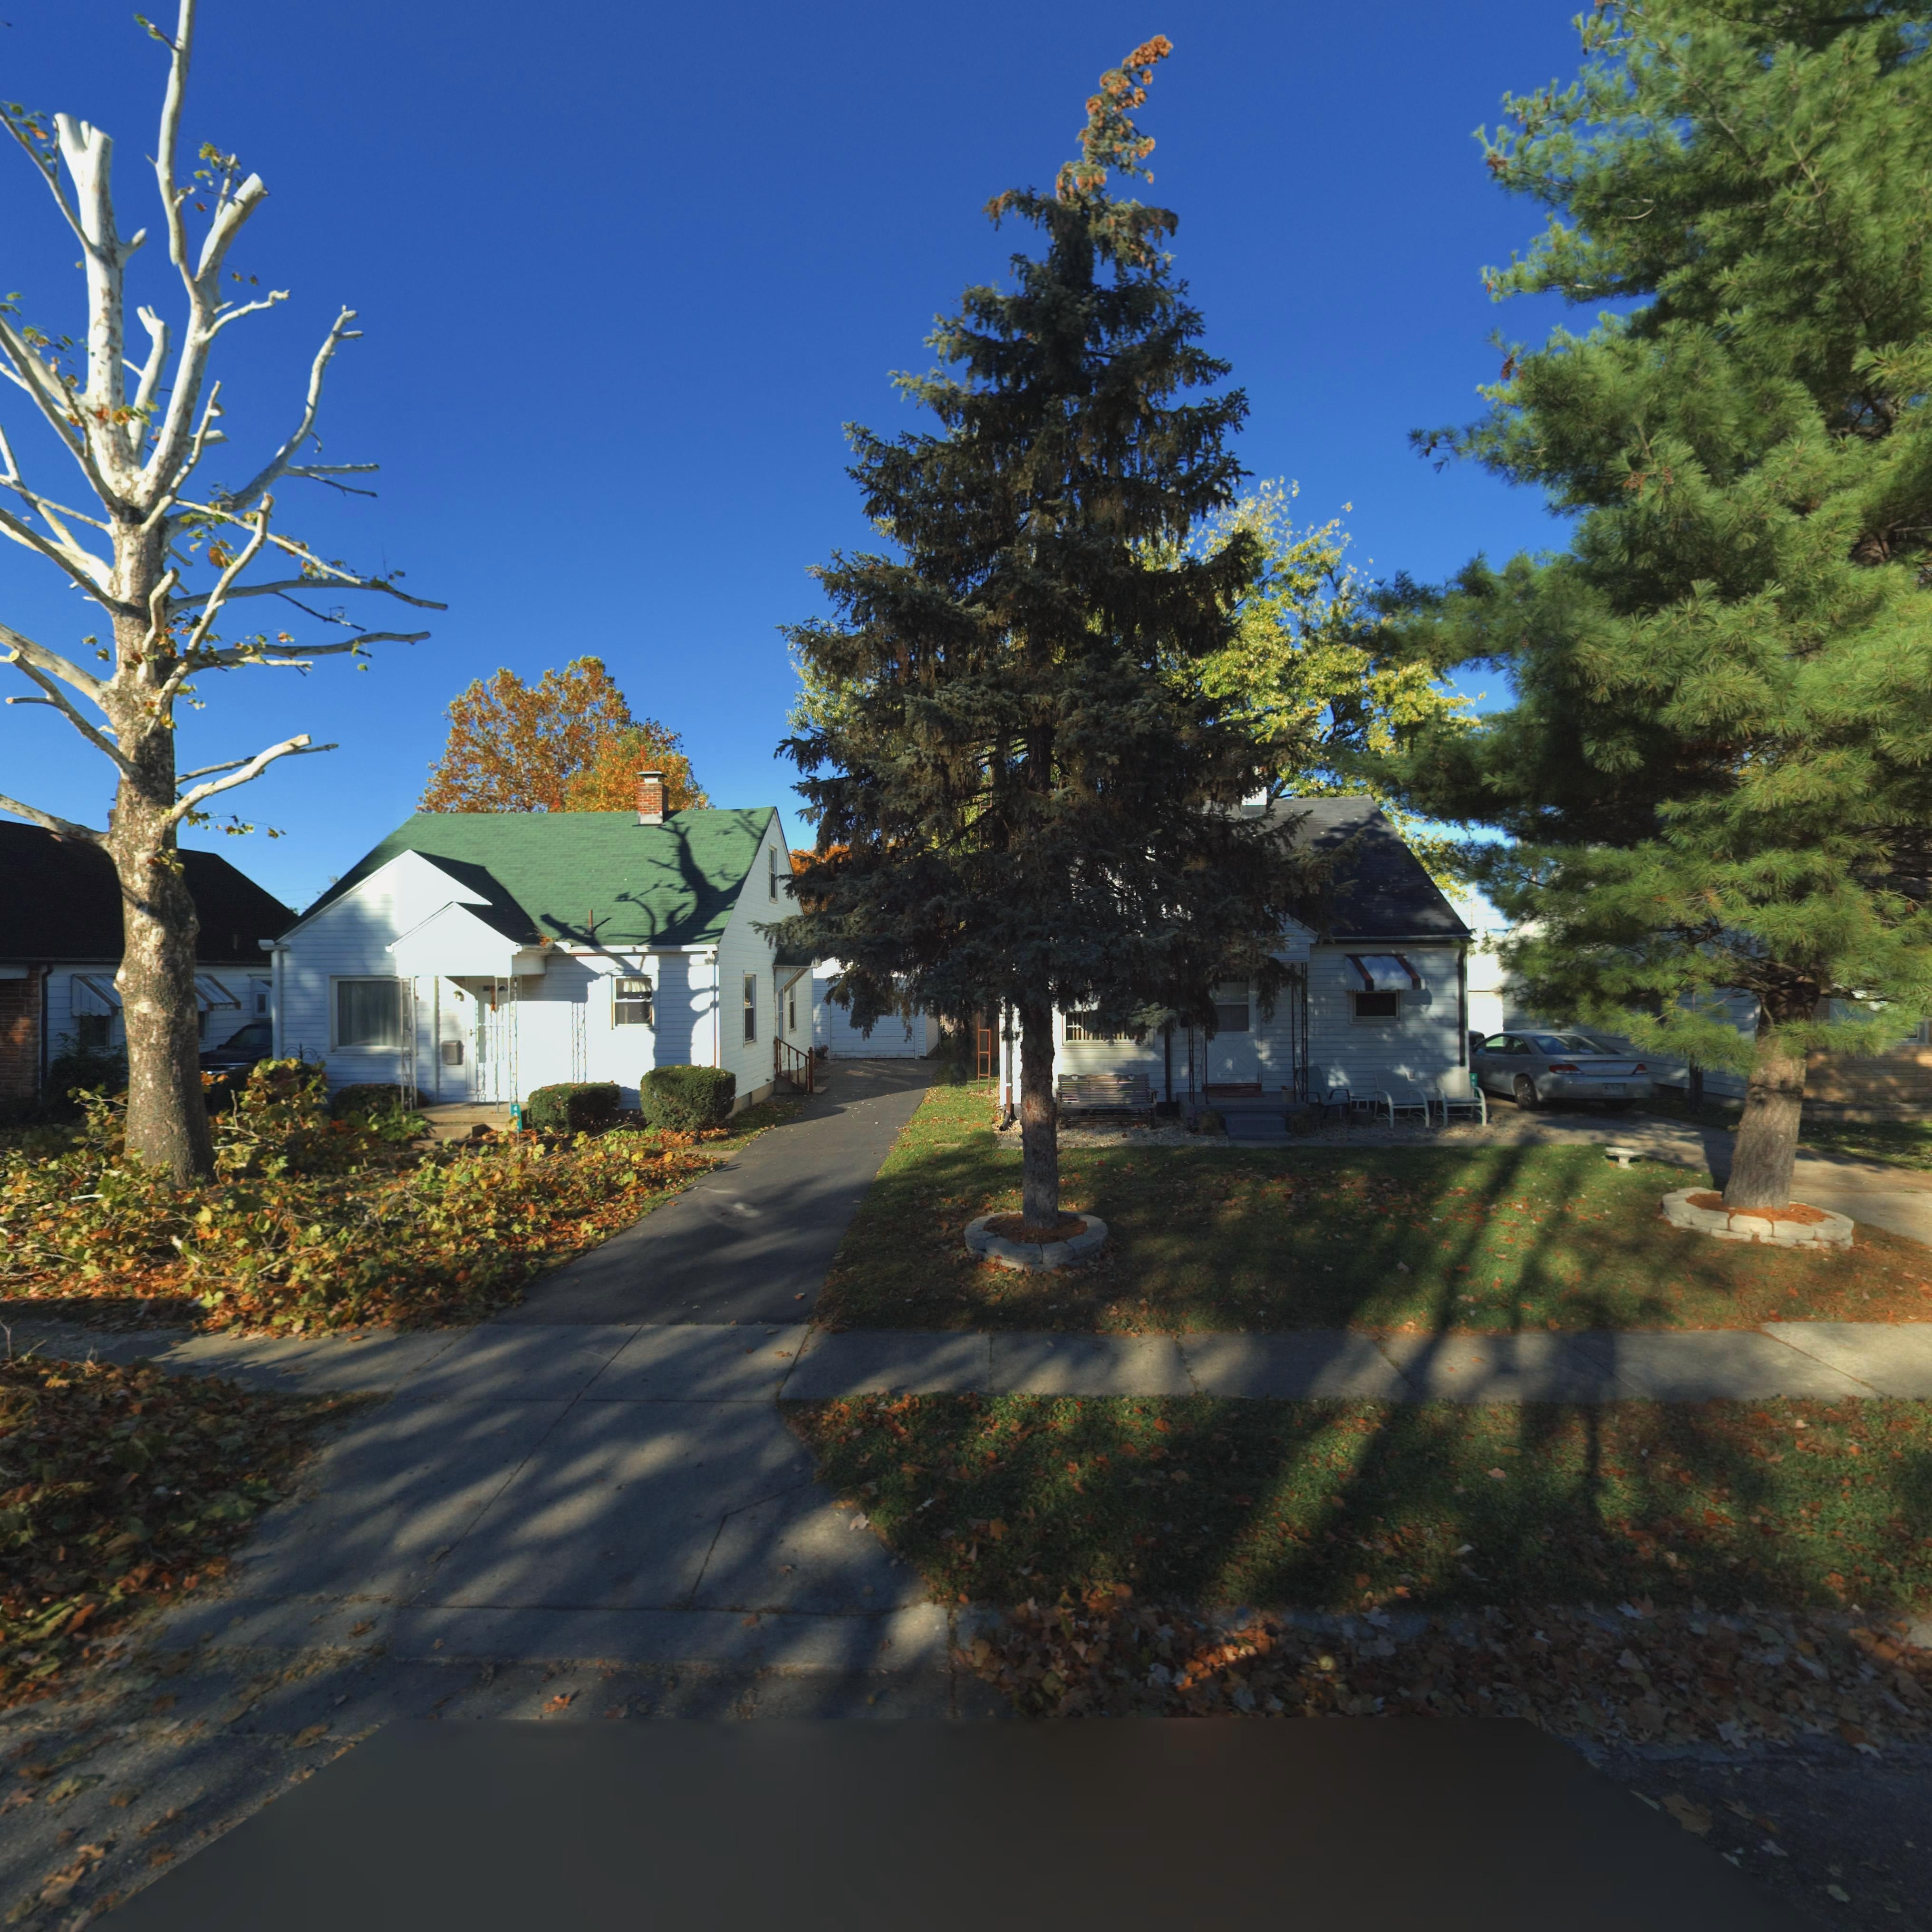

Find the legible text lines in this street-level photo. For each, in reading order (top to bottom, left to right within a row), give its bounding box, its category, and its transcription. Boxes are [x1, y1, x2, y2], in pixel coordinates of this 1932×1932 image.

[512, 1104, 519, 1112] StreetNumber: 4